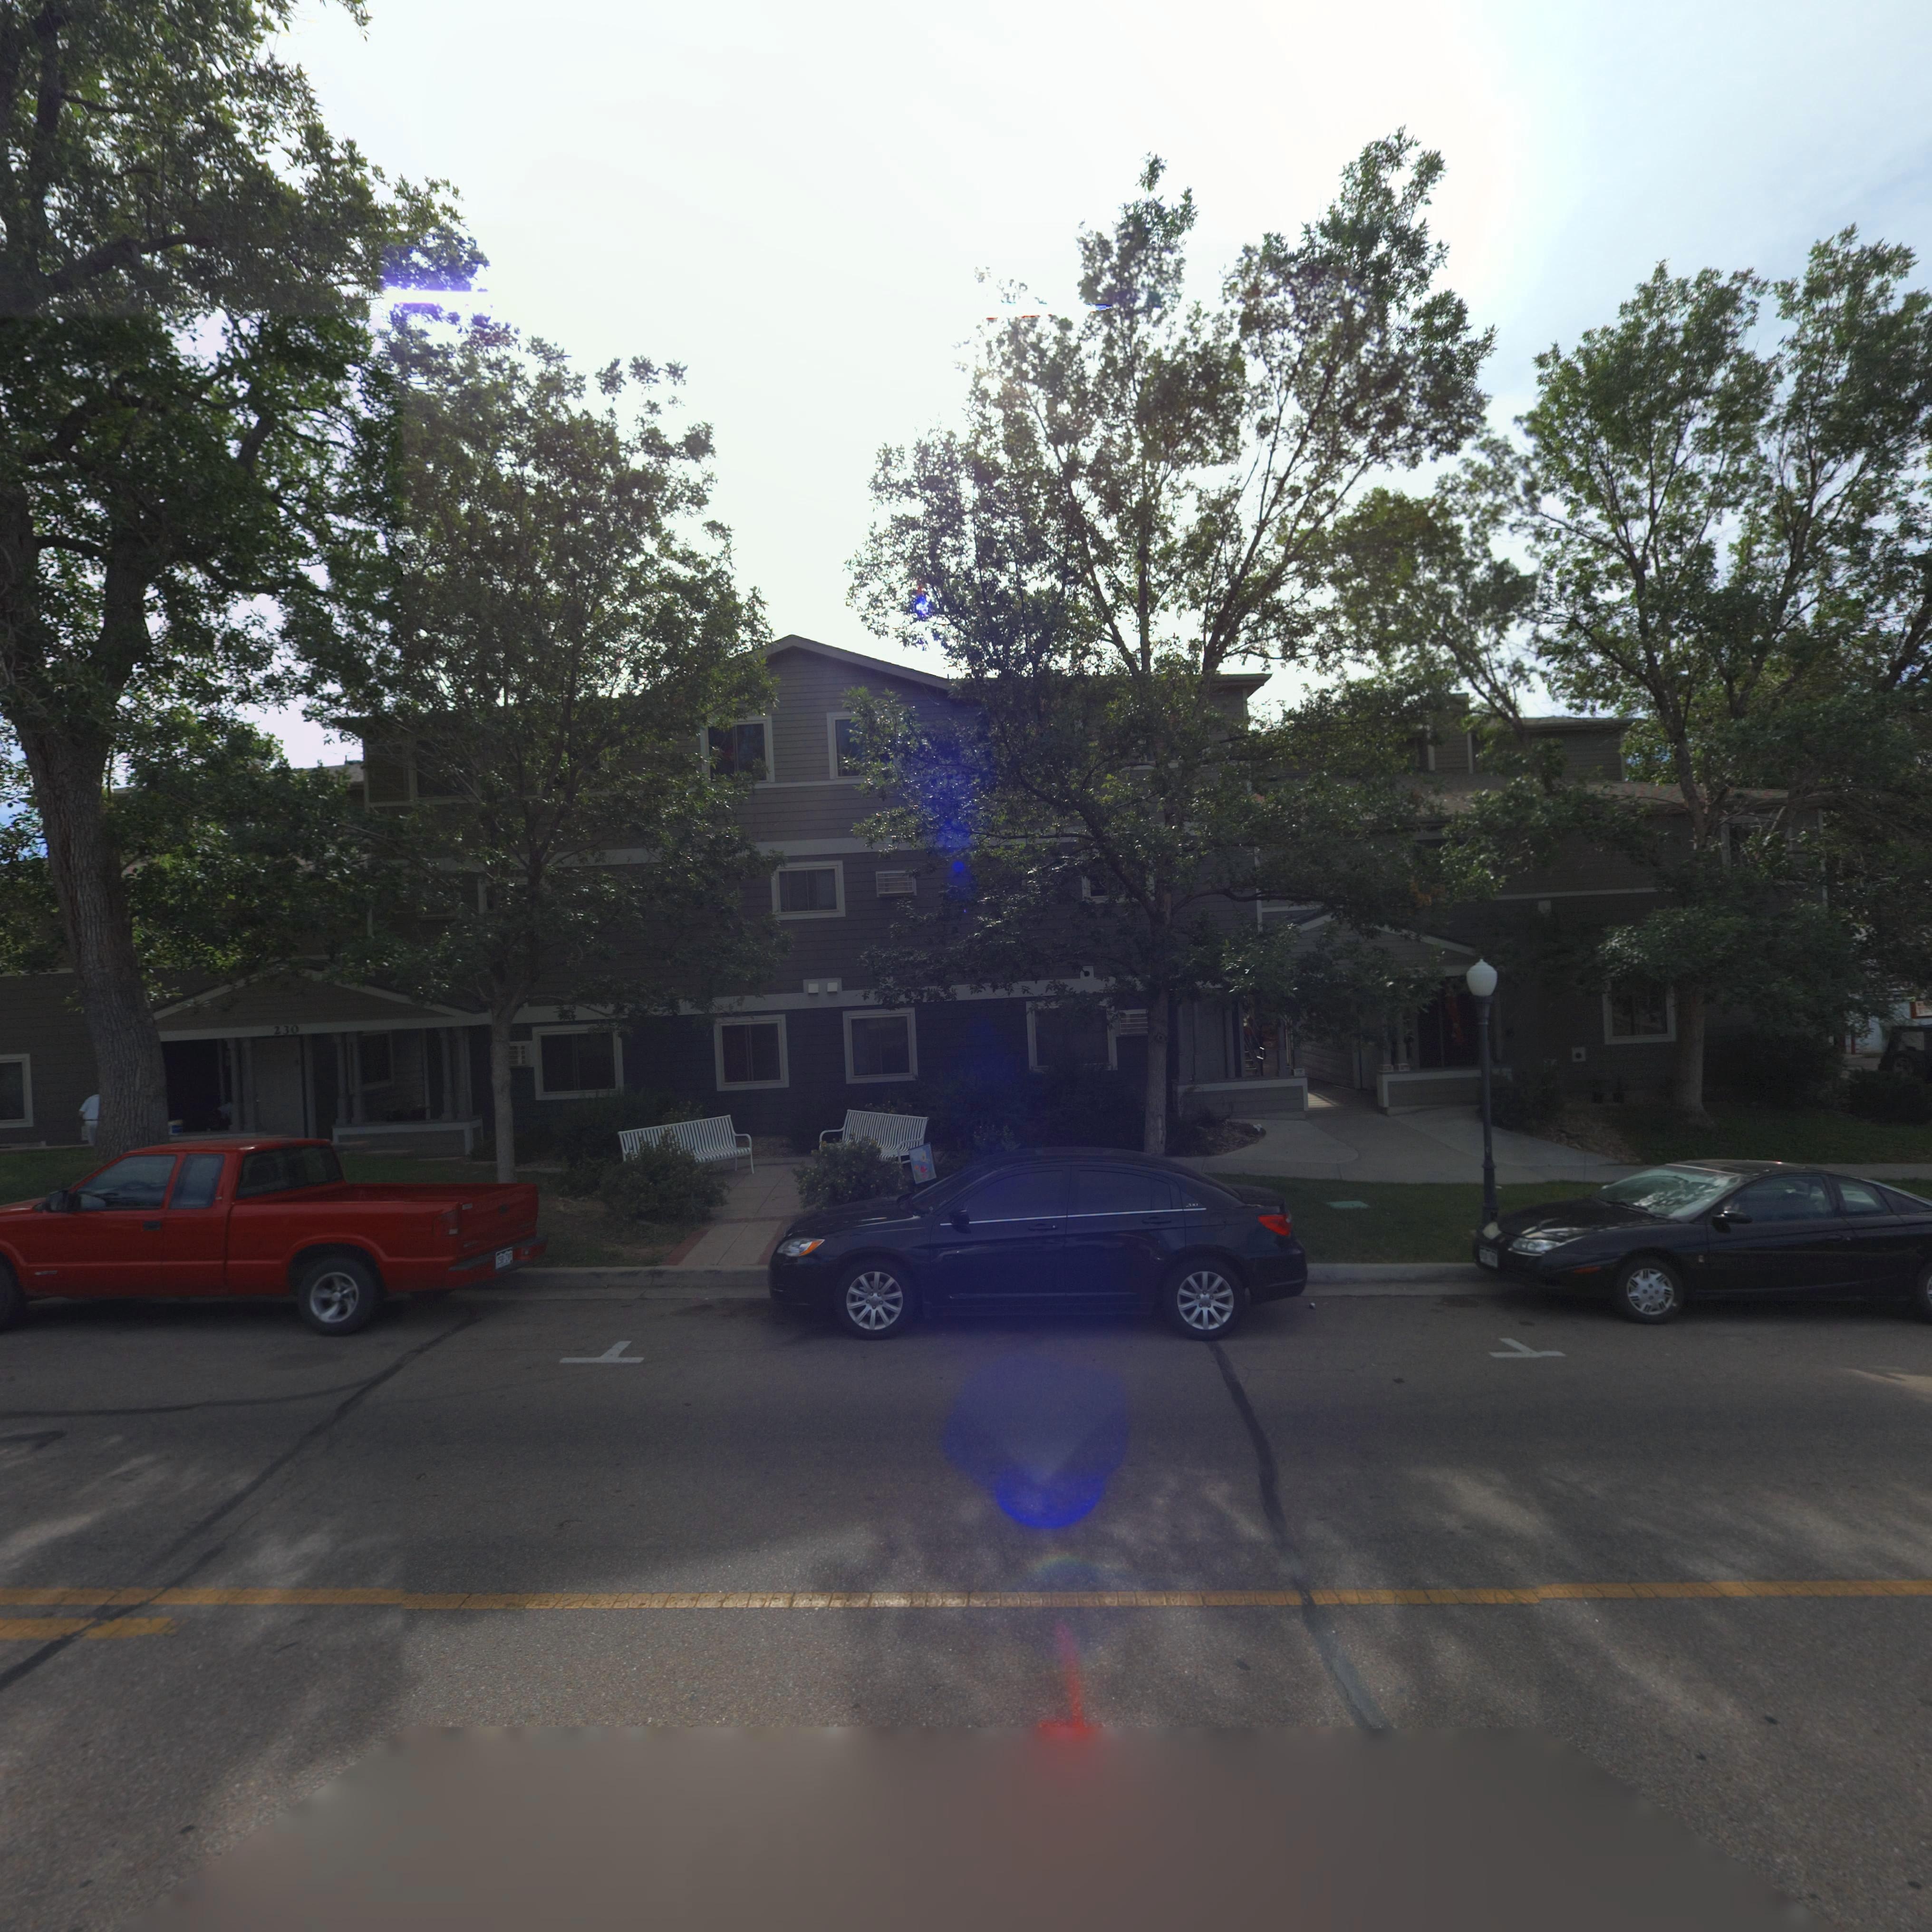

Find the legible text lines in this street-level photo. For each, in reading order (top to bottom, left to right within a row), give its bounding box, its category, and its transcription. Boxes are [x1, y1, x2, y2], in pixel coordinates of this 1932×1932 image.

[272, 1024, 298, 1035] StreetNumber: 230